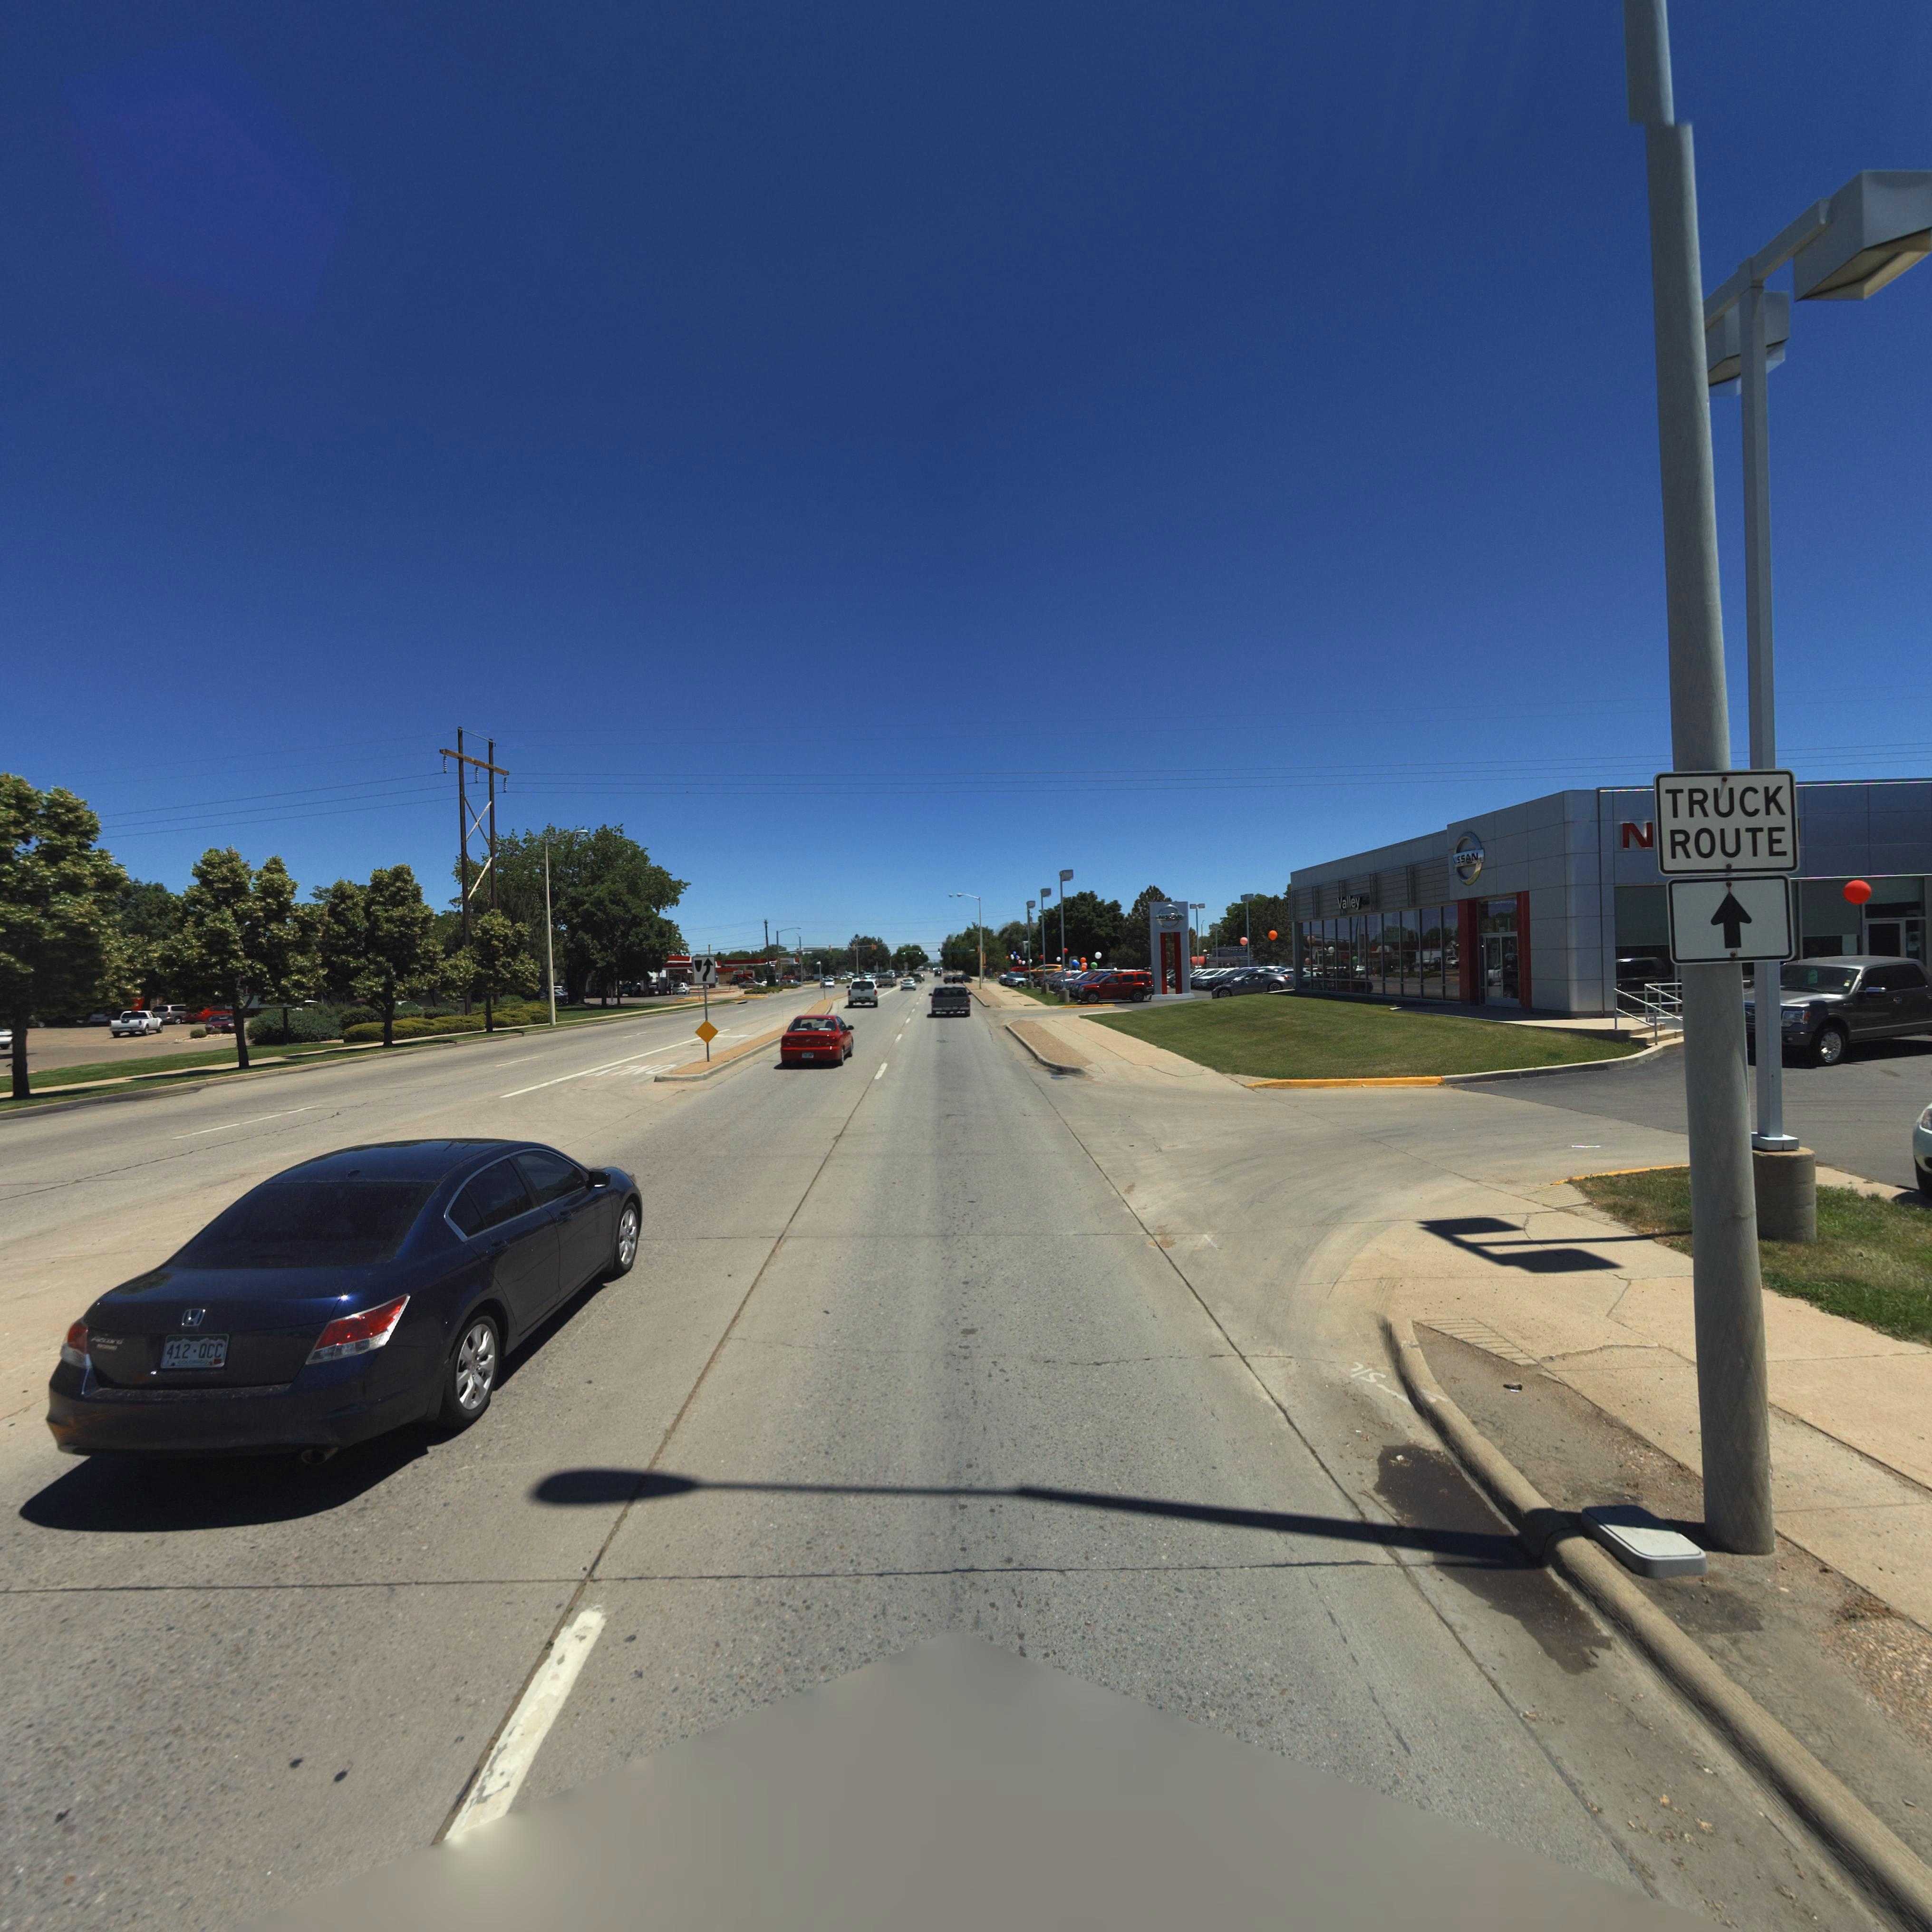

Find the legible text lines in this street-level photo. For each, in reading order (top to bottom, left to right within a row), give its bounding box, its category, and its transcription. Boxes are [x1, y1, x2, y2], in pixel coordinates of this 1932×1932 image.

[1622, 821, 1653, 849] BusinessName: N
[1455, 851, 1478, 864] BusinessName: ISSAN
[1336, 895, 1361, 910] BusinessName: Valley
[1158, 915, 1181, 919] BusinessName: NIS**N